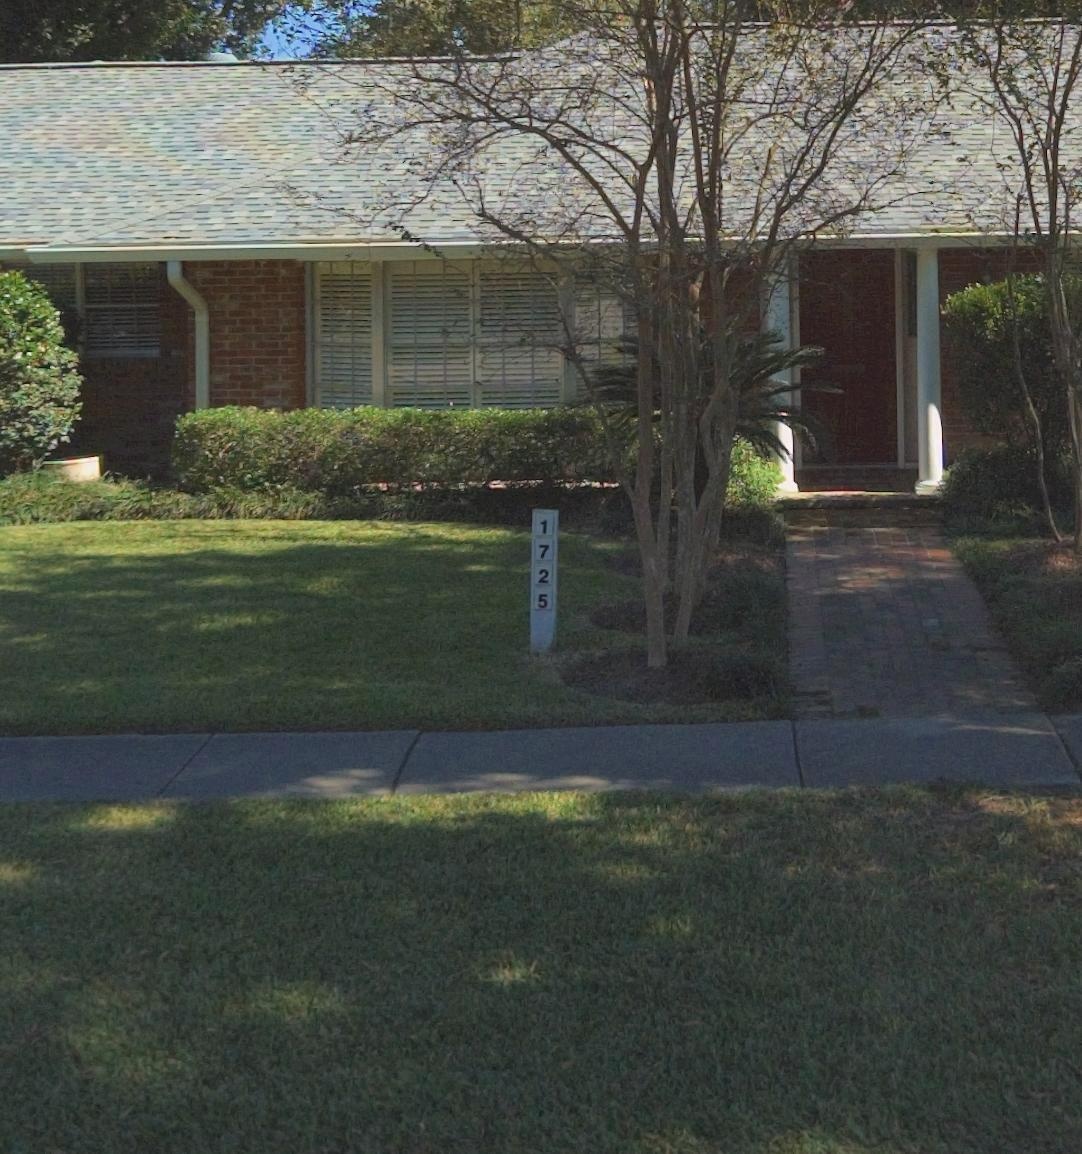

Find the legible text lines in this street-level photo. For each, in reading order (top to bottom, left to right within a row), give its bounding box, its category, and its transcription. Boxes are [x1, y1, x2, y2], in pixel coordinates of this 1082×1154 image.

[535, 517, 552, 611] StreetNumber: 1725